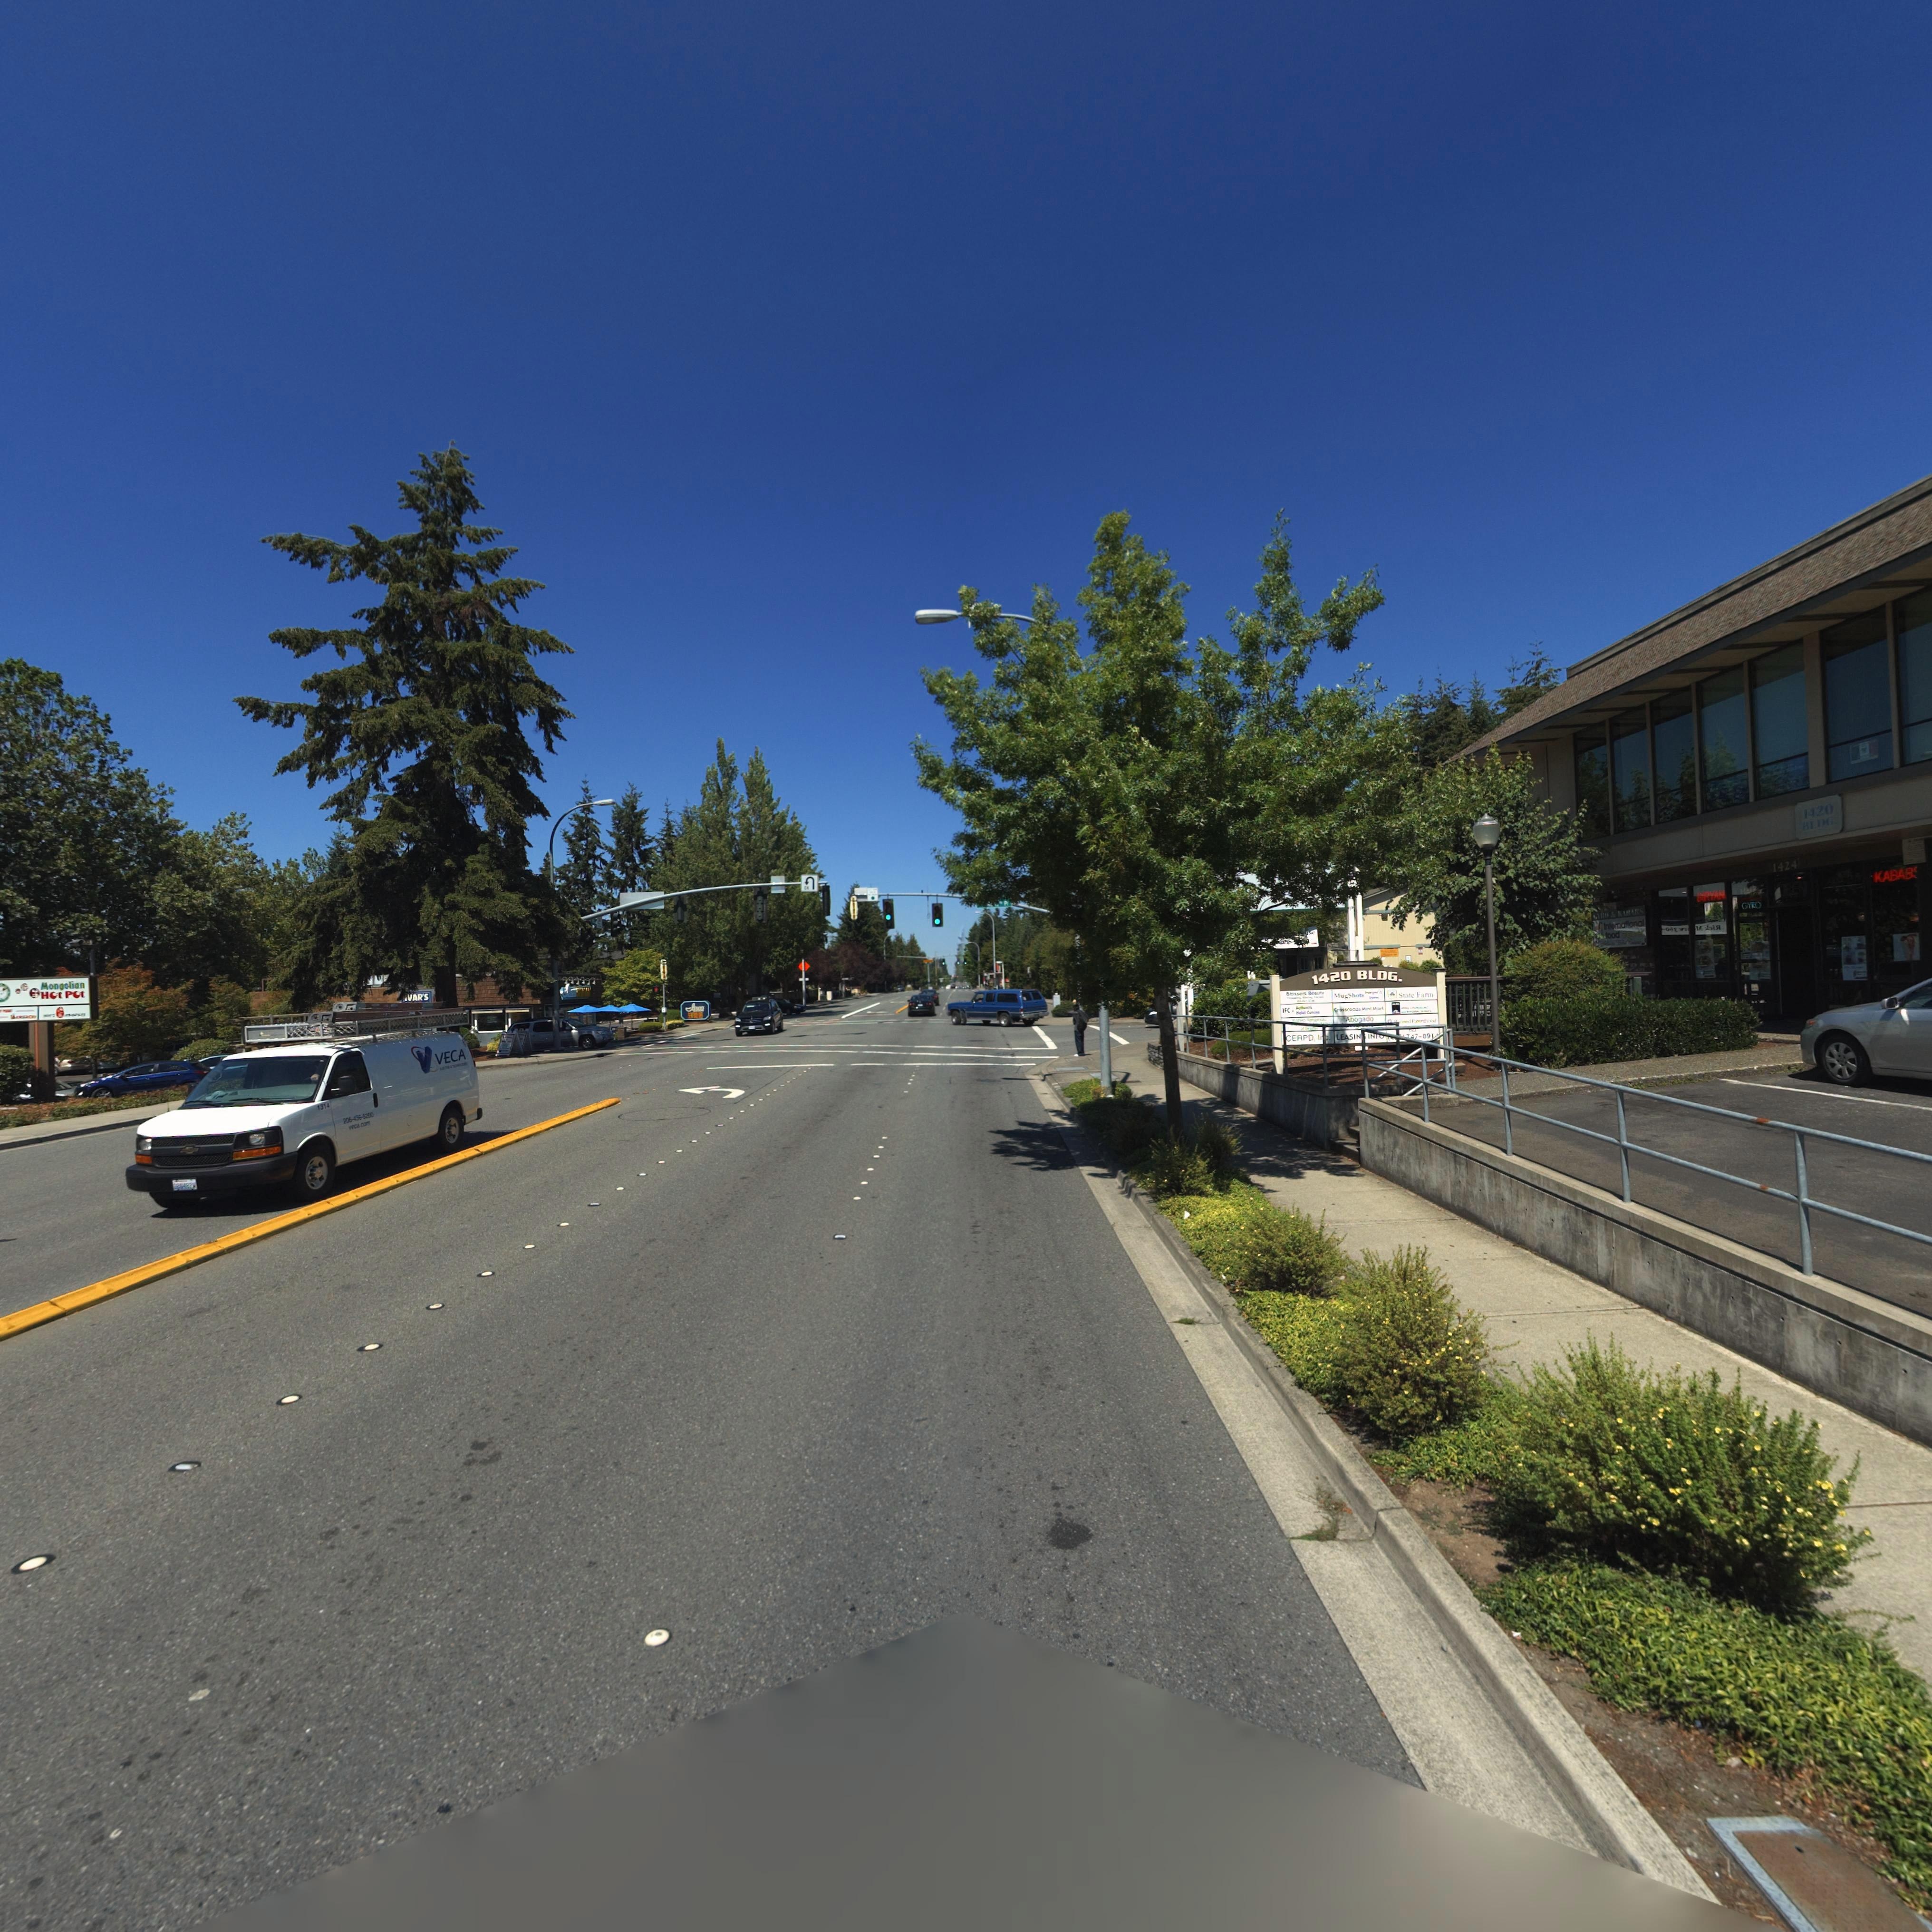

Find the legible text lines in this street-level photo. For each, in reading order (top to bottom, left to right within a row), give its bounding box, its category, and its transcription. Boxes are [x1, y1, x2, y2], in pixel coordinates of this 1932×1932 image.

[1803, 803, 1834, 819] StreetNumber: 1420
[1772, 860, 1798, 872] StreetNumber: 1420
[1311, 971, 1351, 985] StreetNumber: 1420
[39, 979, 85, 990] BusinessName: Mongolian
[40, 990, 85, 1000] BusinessName: Hot Pot
[407, 993, 428, 1001] BusinessName: VAR*S
[1334, 992, 1364, 1000] BusinessName: MugShots
[1398, 991, 1433, 998] BusinessName: State Farm
[684, 1001, 696, 1012] BusinessName: I
[1345, 1016, 1373, 1023] BusinessName: Abogado
[1286, 1034, 1320, 1042] BusinessName: CERPD I